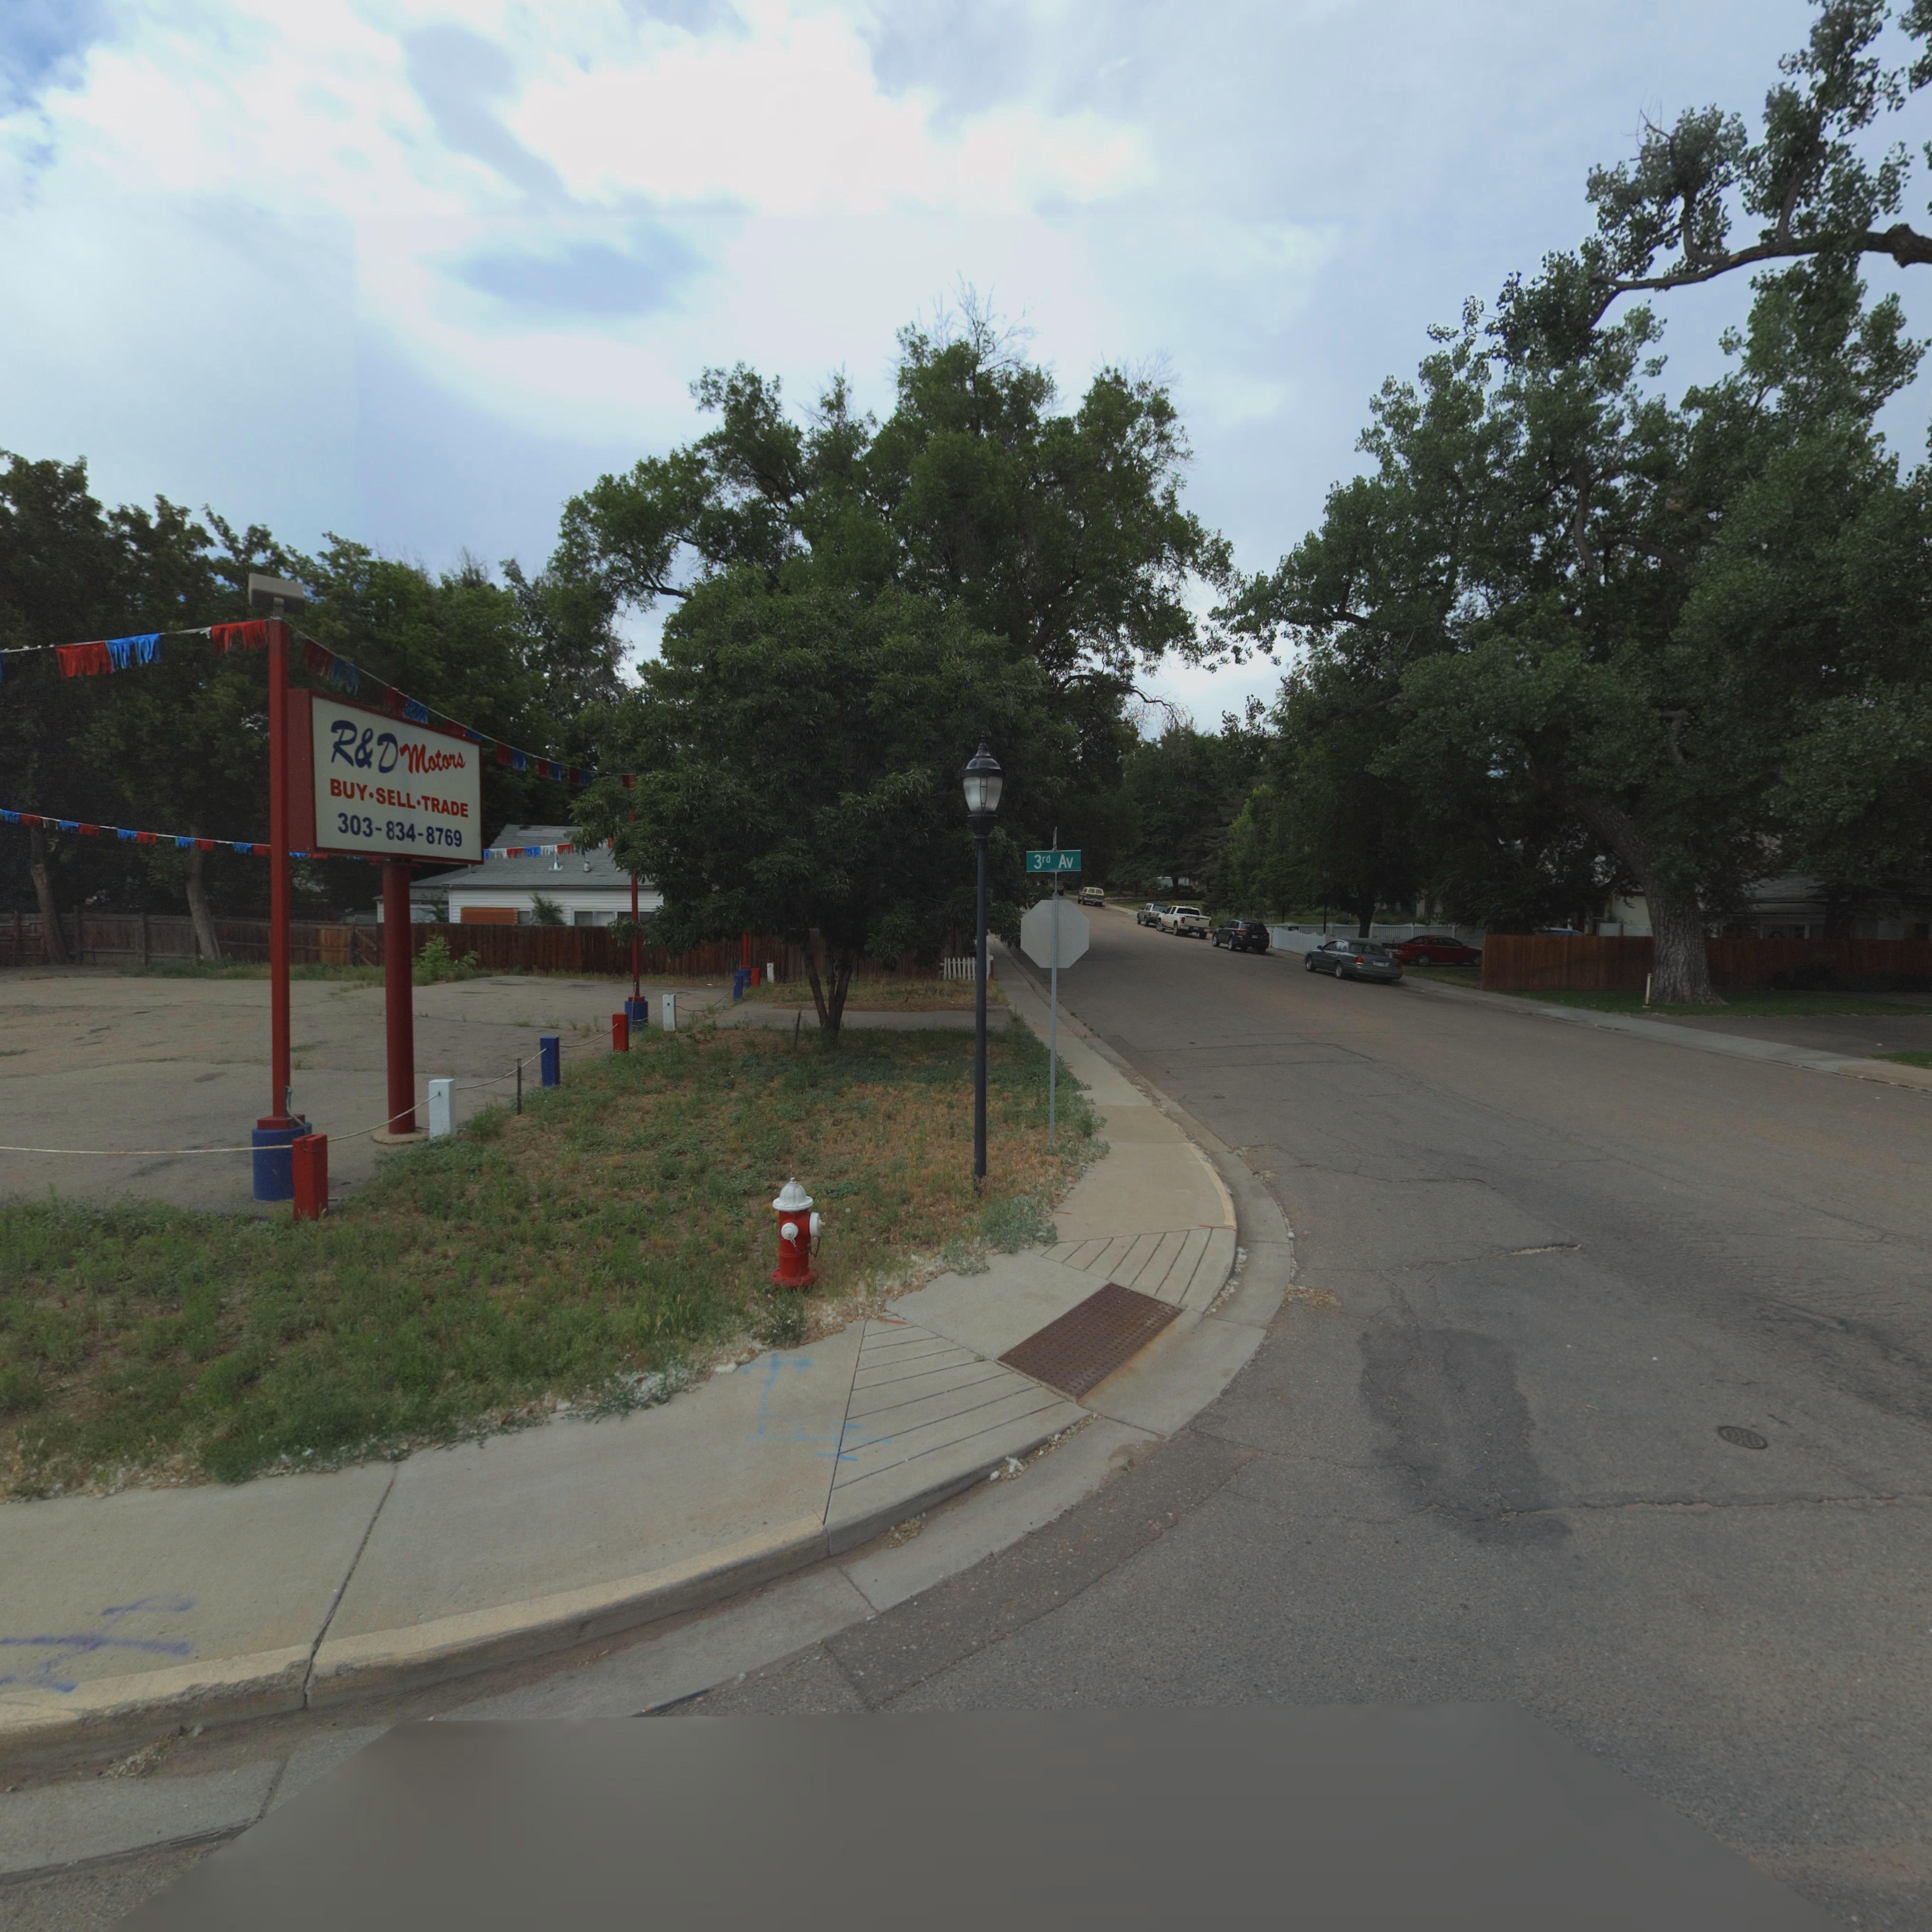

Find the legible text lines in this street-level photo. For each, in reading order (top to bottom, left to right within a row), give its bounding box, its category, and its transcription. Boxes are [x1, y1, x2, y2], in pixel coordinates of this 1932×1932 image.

[329, 718, 399, 774] BusinessName: R*D
[398, 742, 466, 774] BusinessName: Motors
[1033, 853, 1074, 869] StreetName: 3rd Av